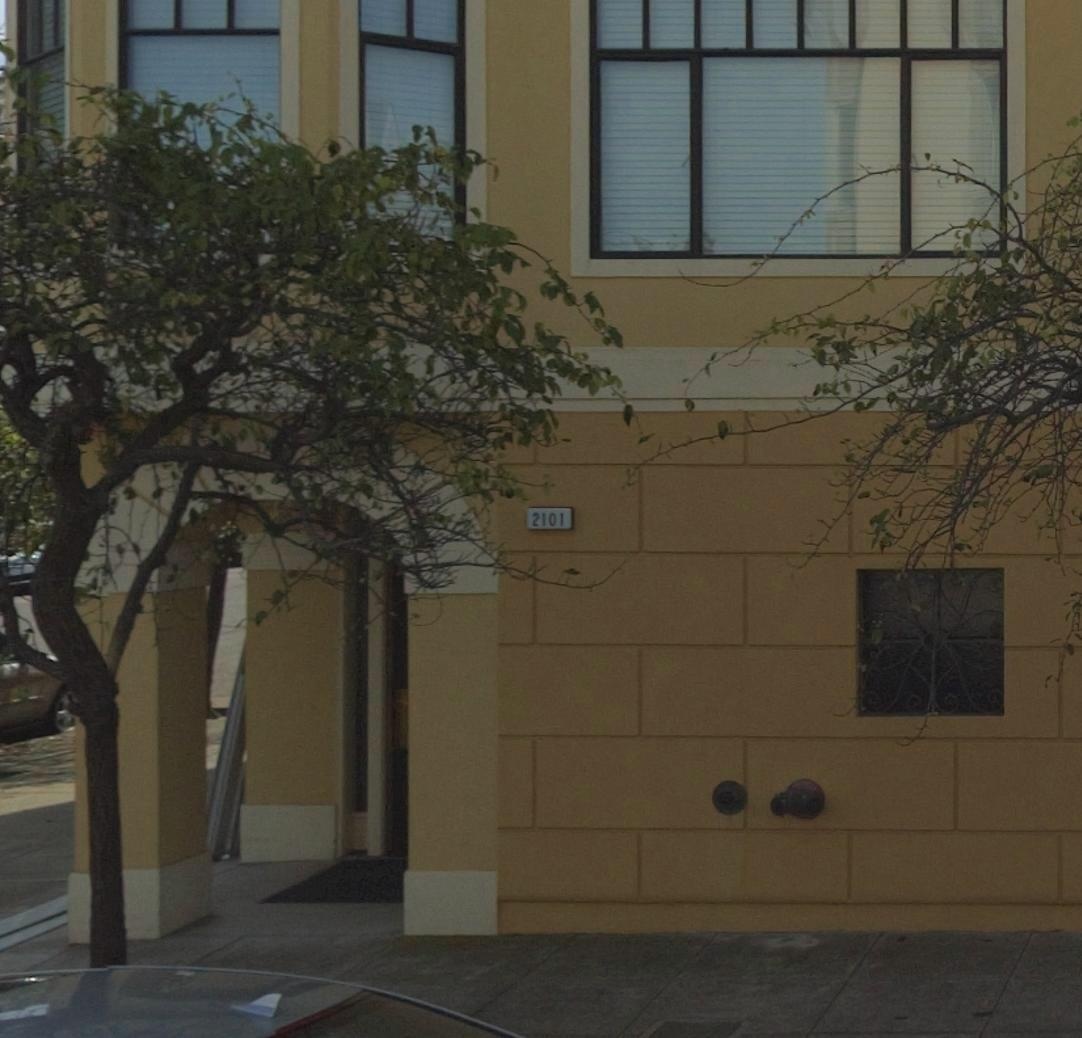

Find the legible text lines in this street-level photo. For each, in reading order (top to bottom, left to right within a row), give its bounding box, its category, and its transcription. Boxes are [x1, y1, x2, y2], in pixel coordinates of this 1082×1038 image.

[530, 510, 566, 529] StreetNumber: 2101